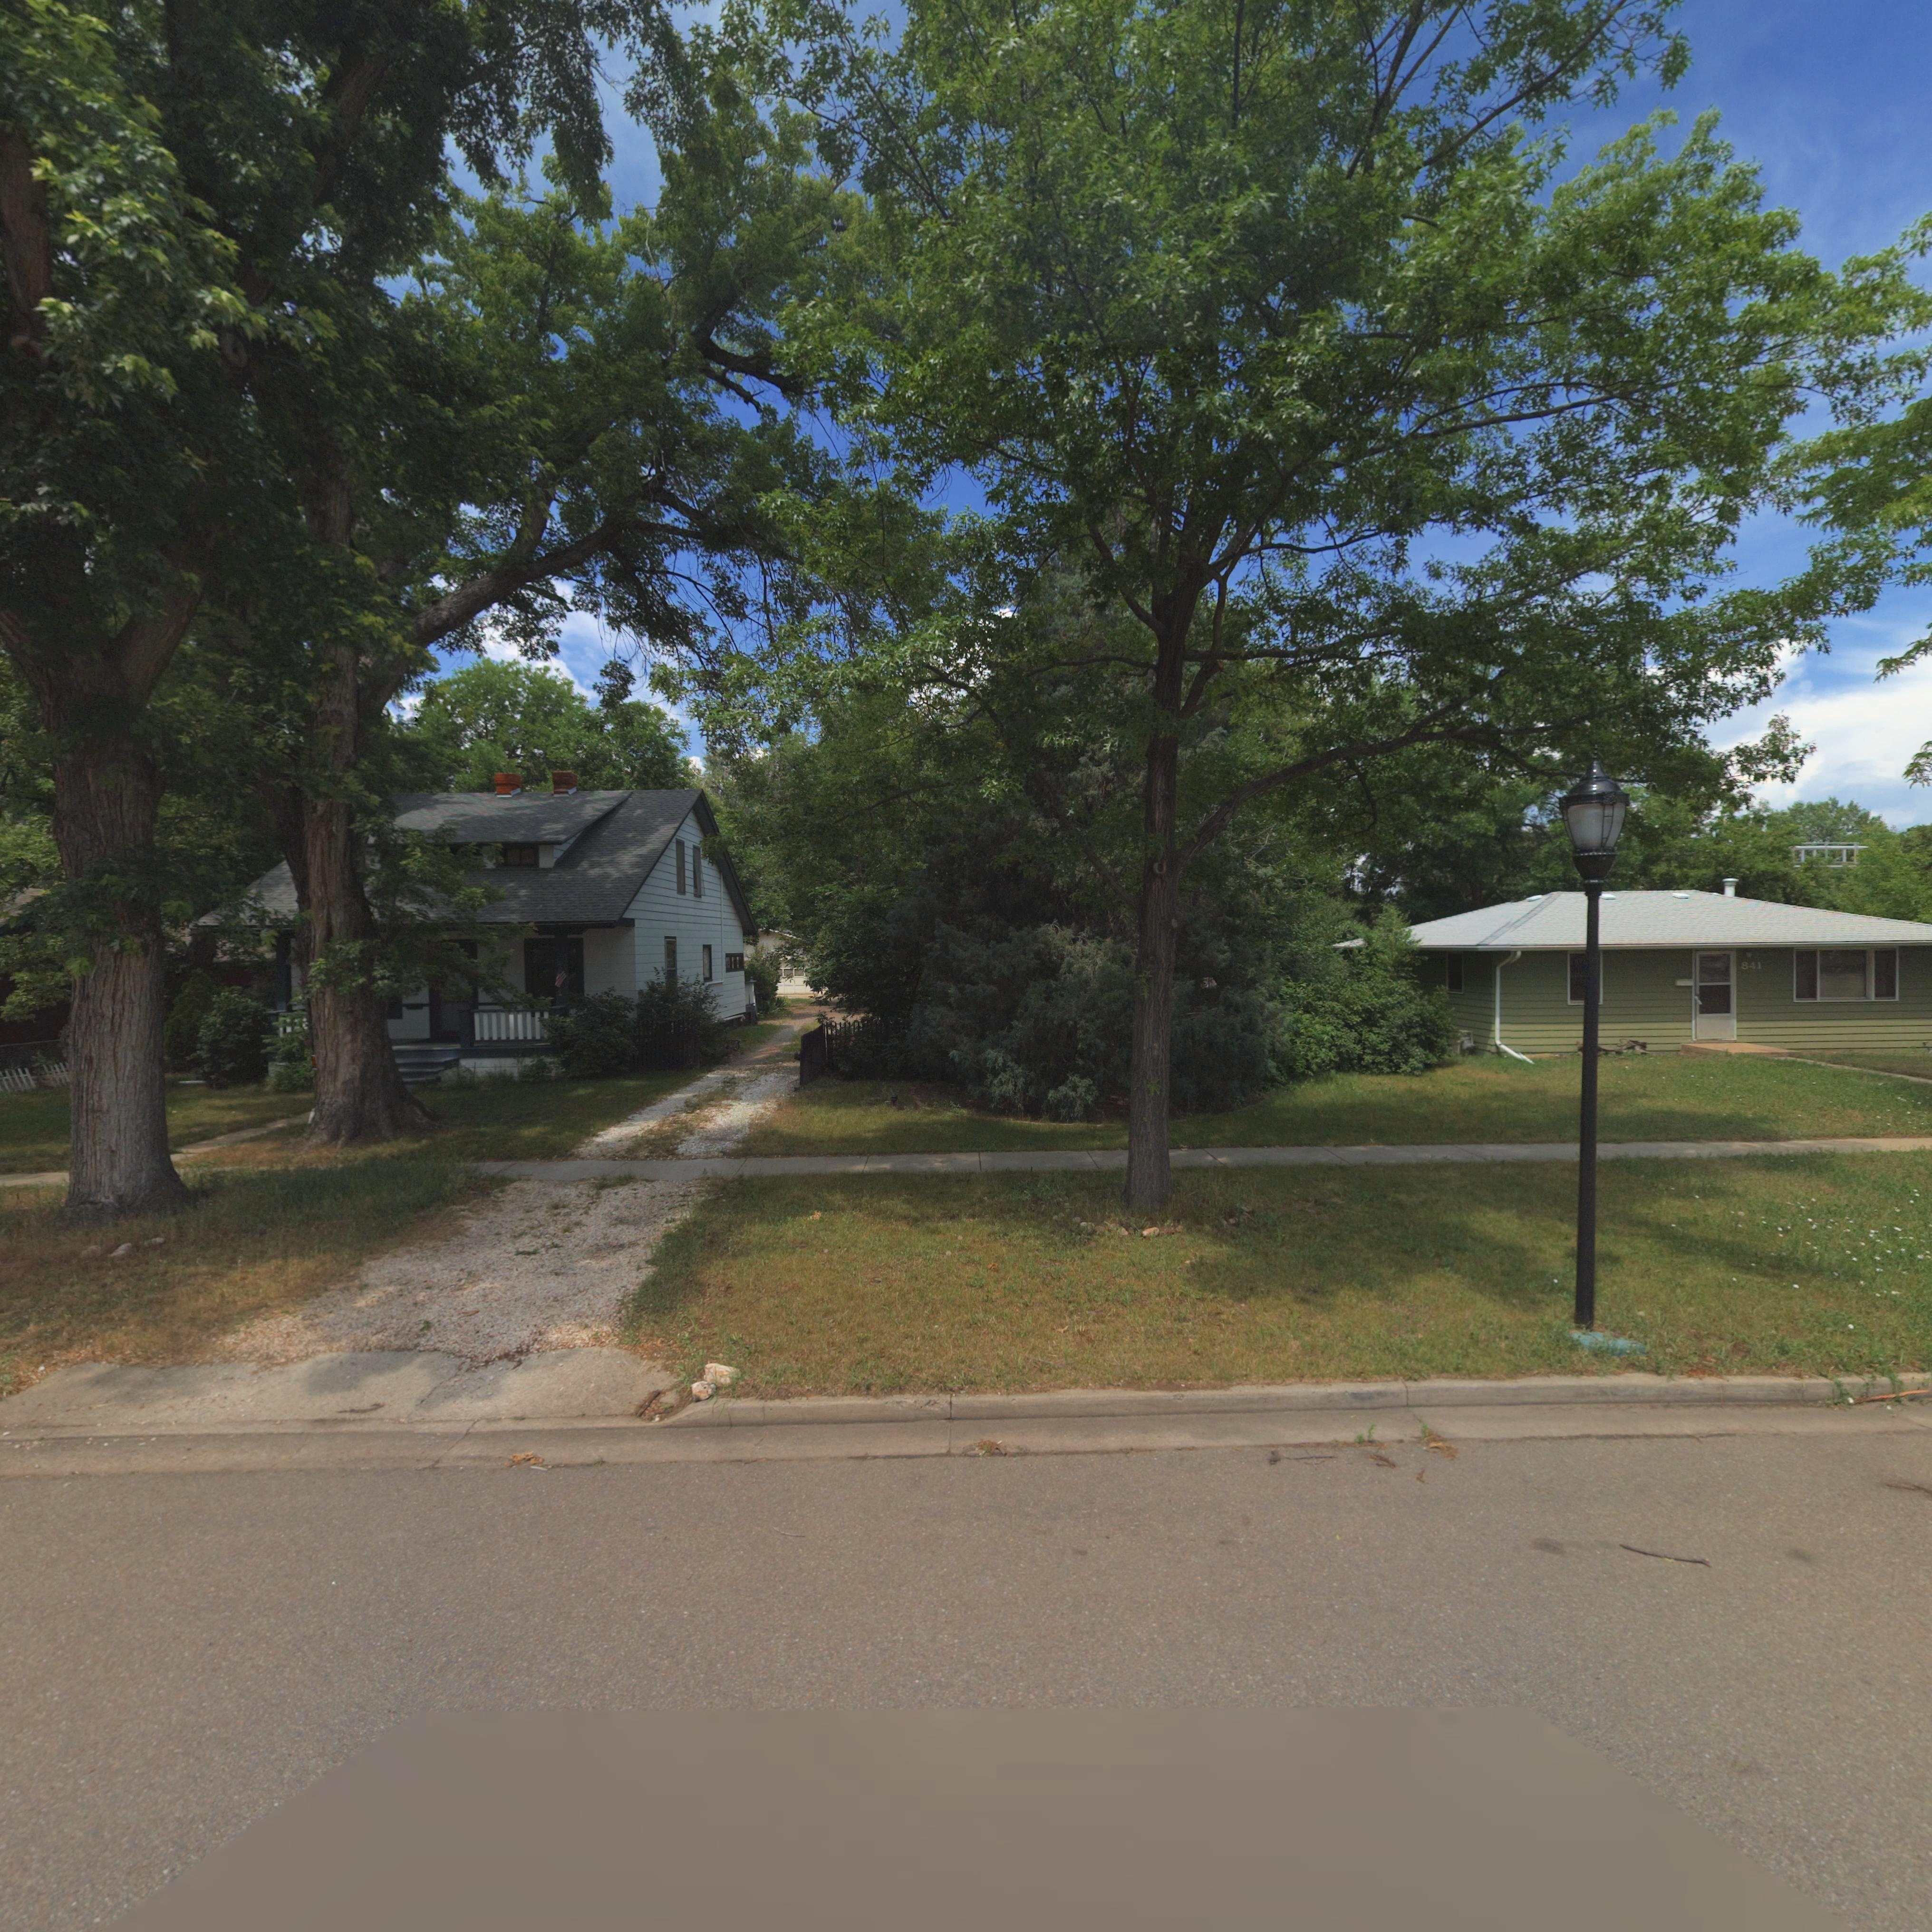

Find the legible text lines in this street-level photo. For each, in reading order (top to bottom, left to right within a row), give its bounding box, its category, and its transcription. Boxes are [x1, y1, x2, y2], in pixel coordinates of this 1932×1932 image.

[1741, 961, 1762, 969] StreetNumber: 841